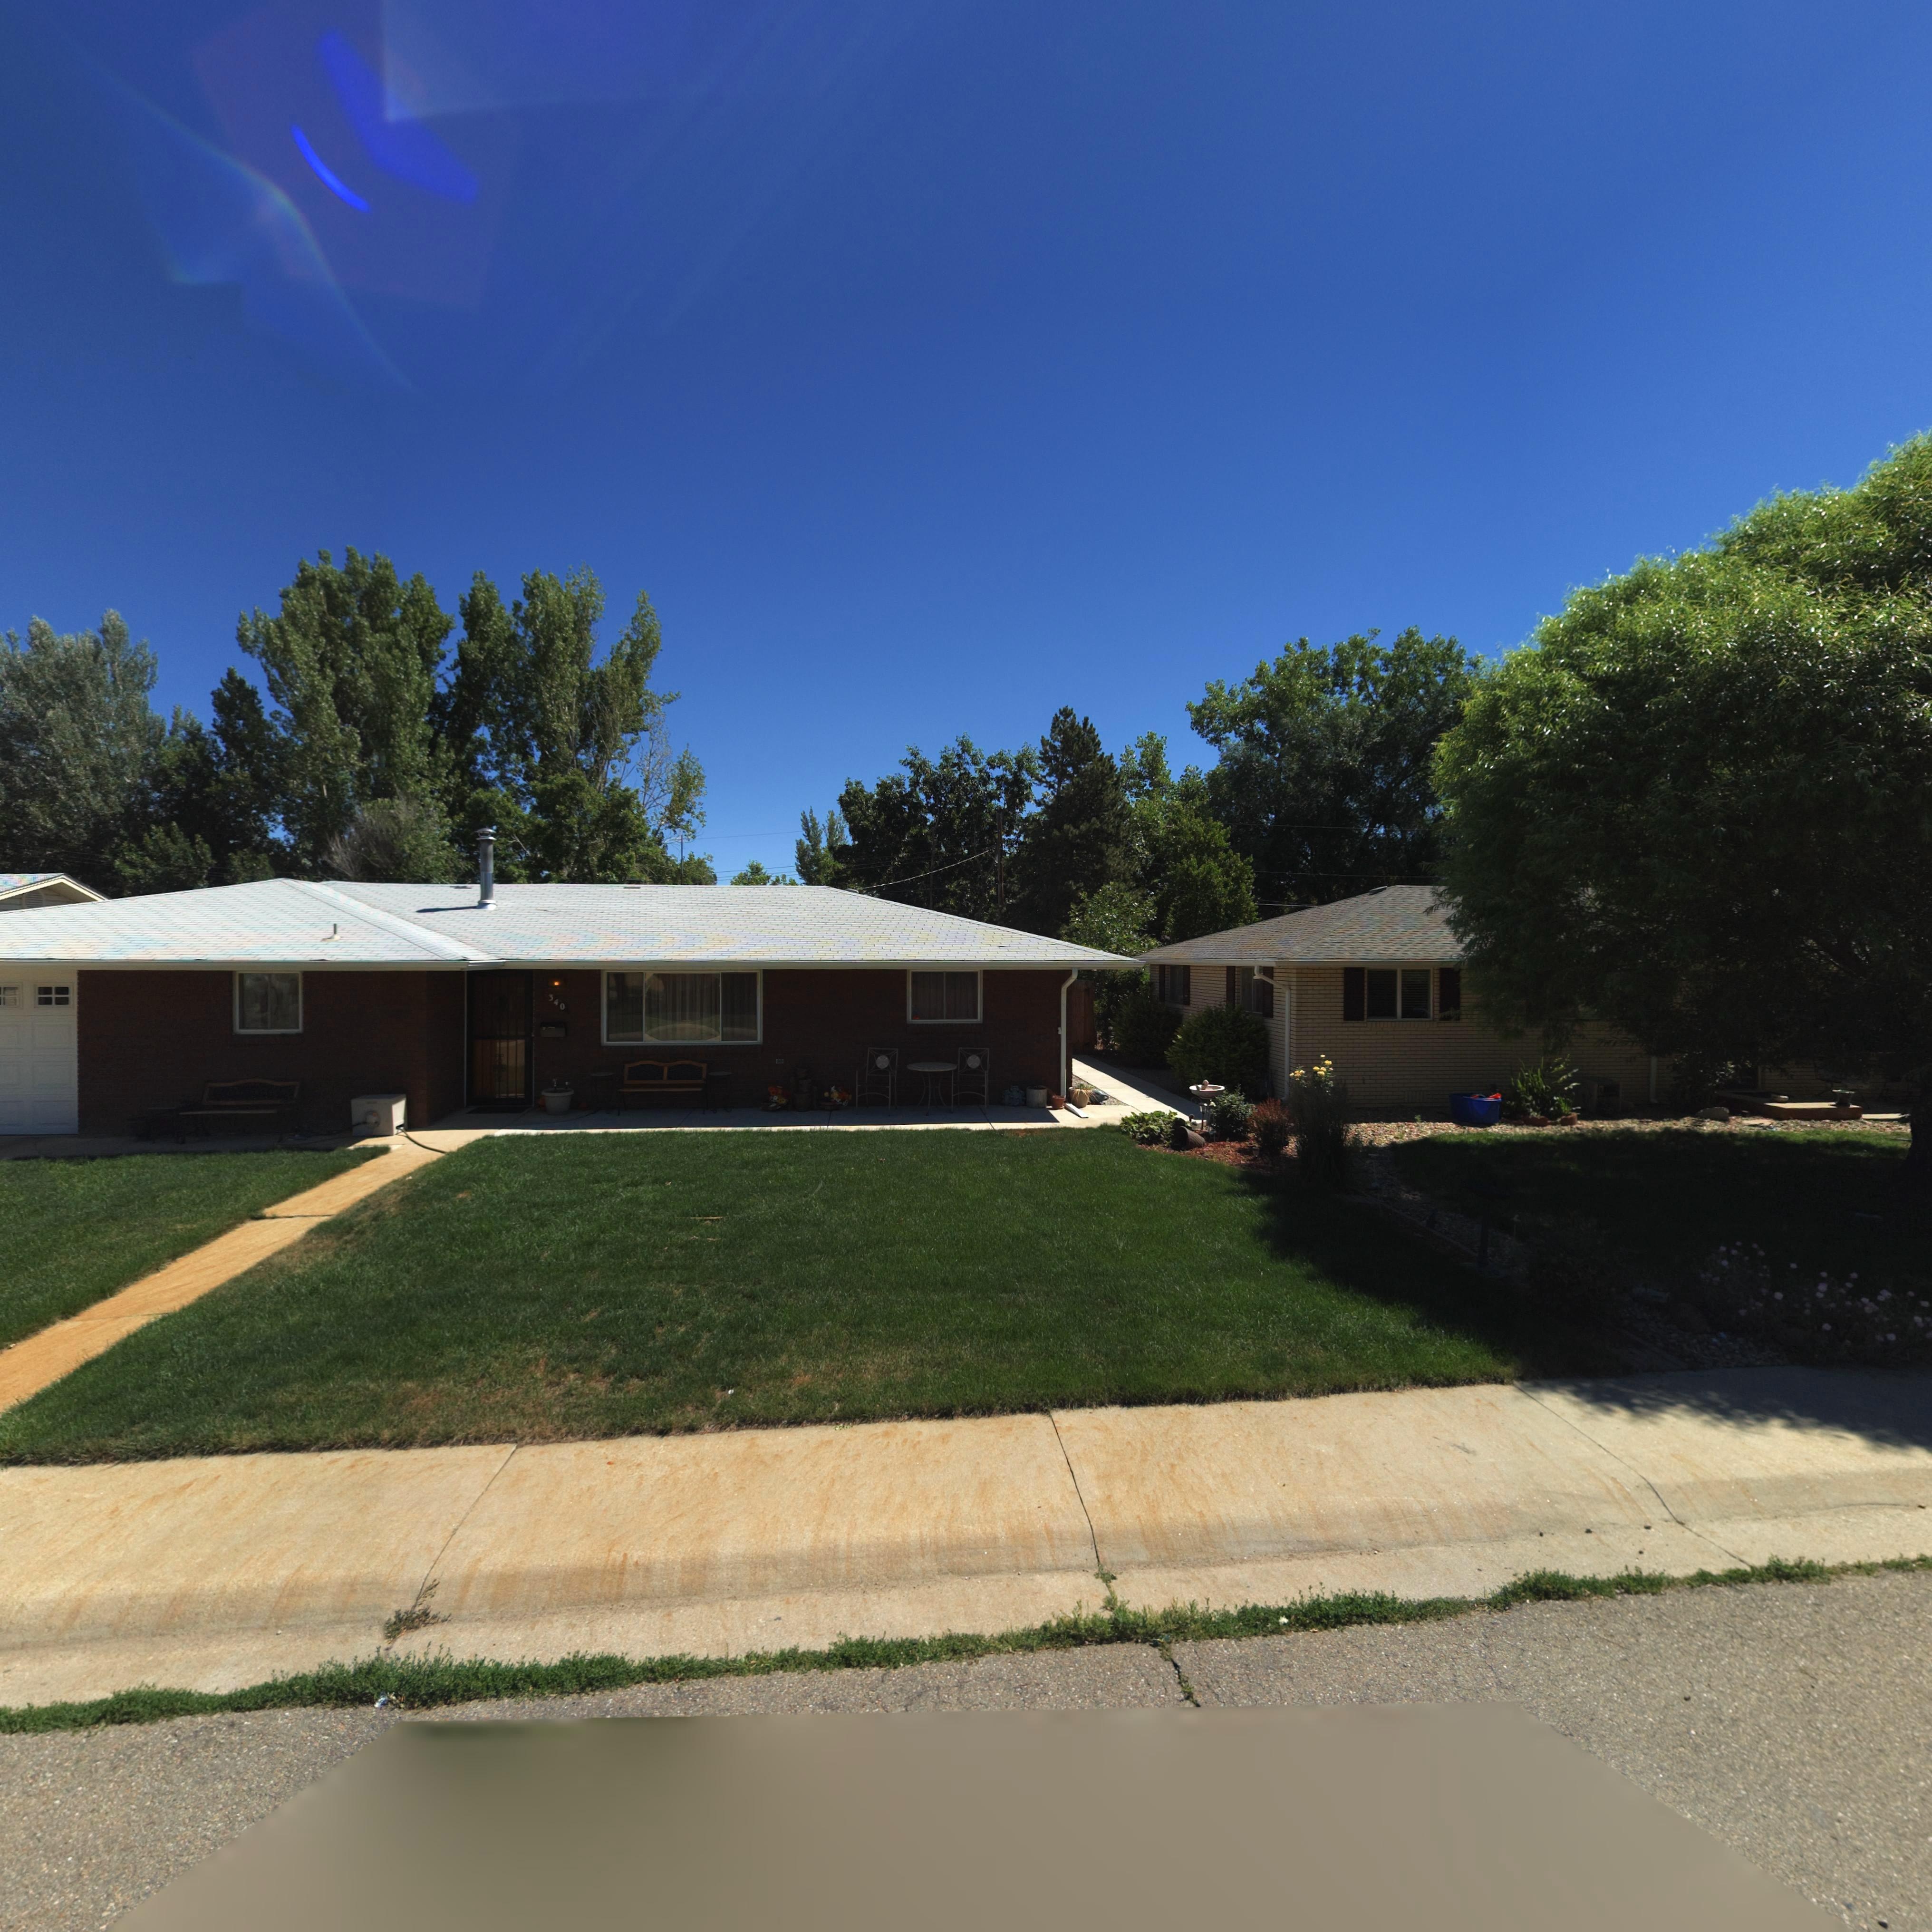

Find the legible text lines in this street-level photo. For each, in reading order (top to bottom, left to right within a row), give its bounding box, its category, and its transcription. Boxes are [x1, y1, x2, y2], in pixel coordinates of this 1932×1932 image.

[548, 993, 565, 1010] StreetNumber: 340